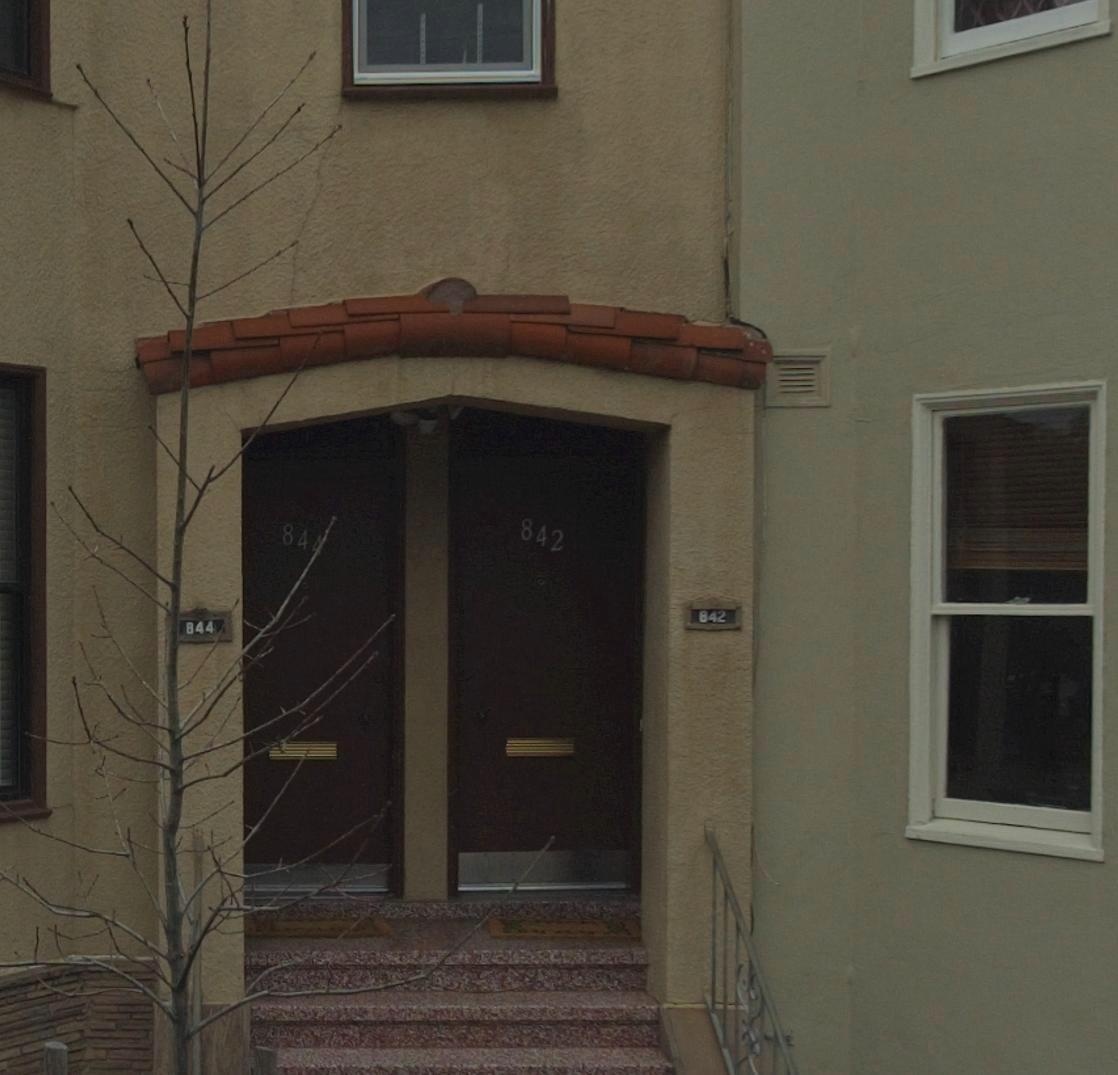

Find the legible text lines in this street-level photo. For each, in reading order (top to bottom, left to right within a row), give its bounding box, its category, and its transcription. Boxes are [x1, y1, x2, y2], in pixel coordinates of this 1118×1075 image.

[281, 521, 325, 558] StreetNumber: 84*
[520, 516, 570, 557] StreetNumber: 842
[184, 619, 216, 635] StreetNumber: 844
[698, 609, 728, 624] StreetNumber: 842